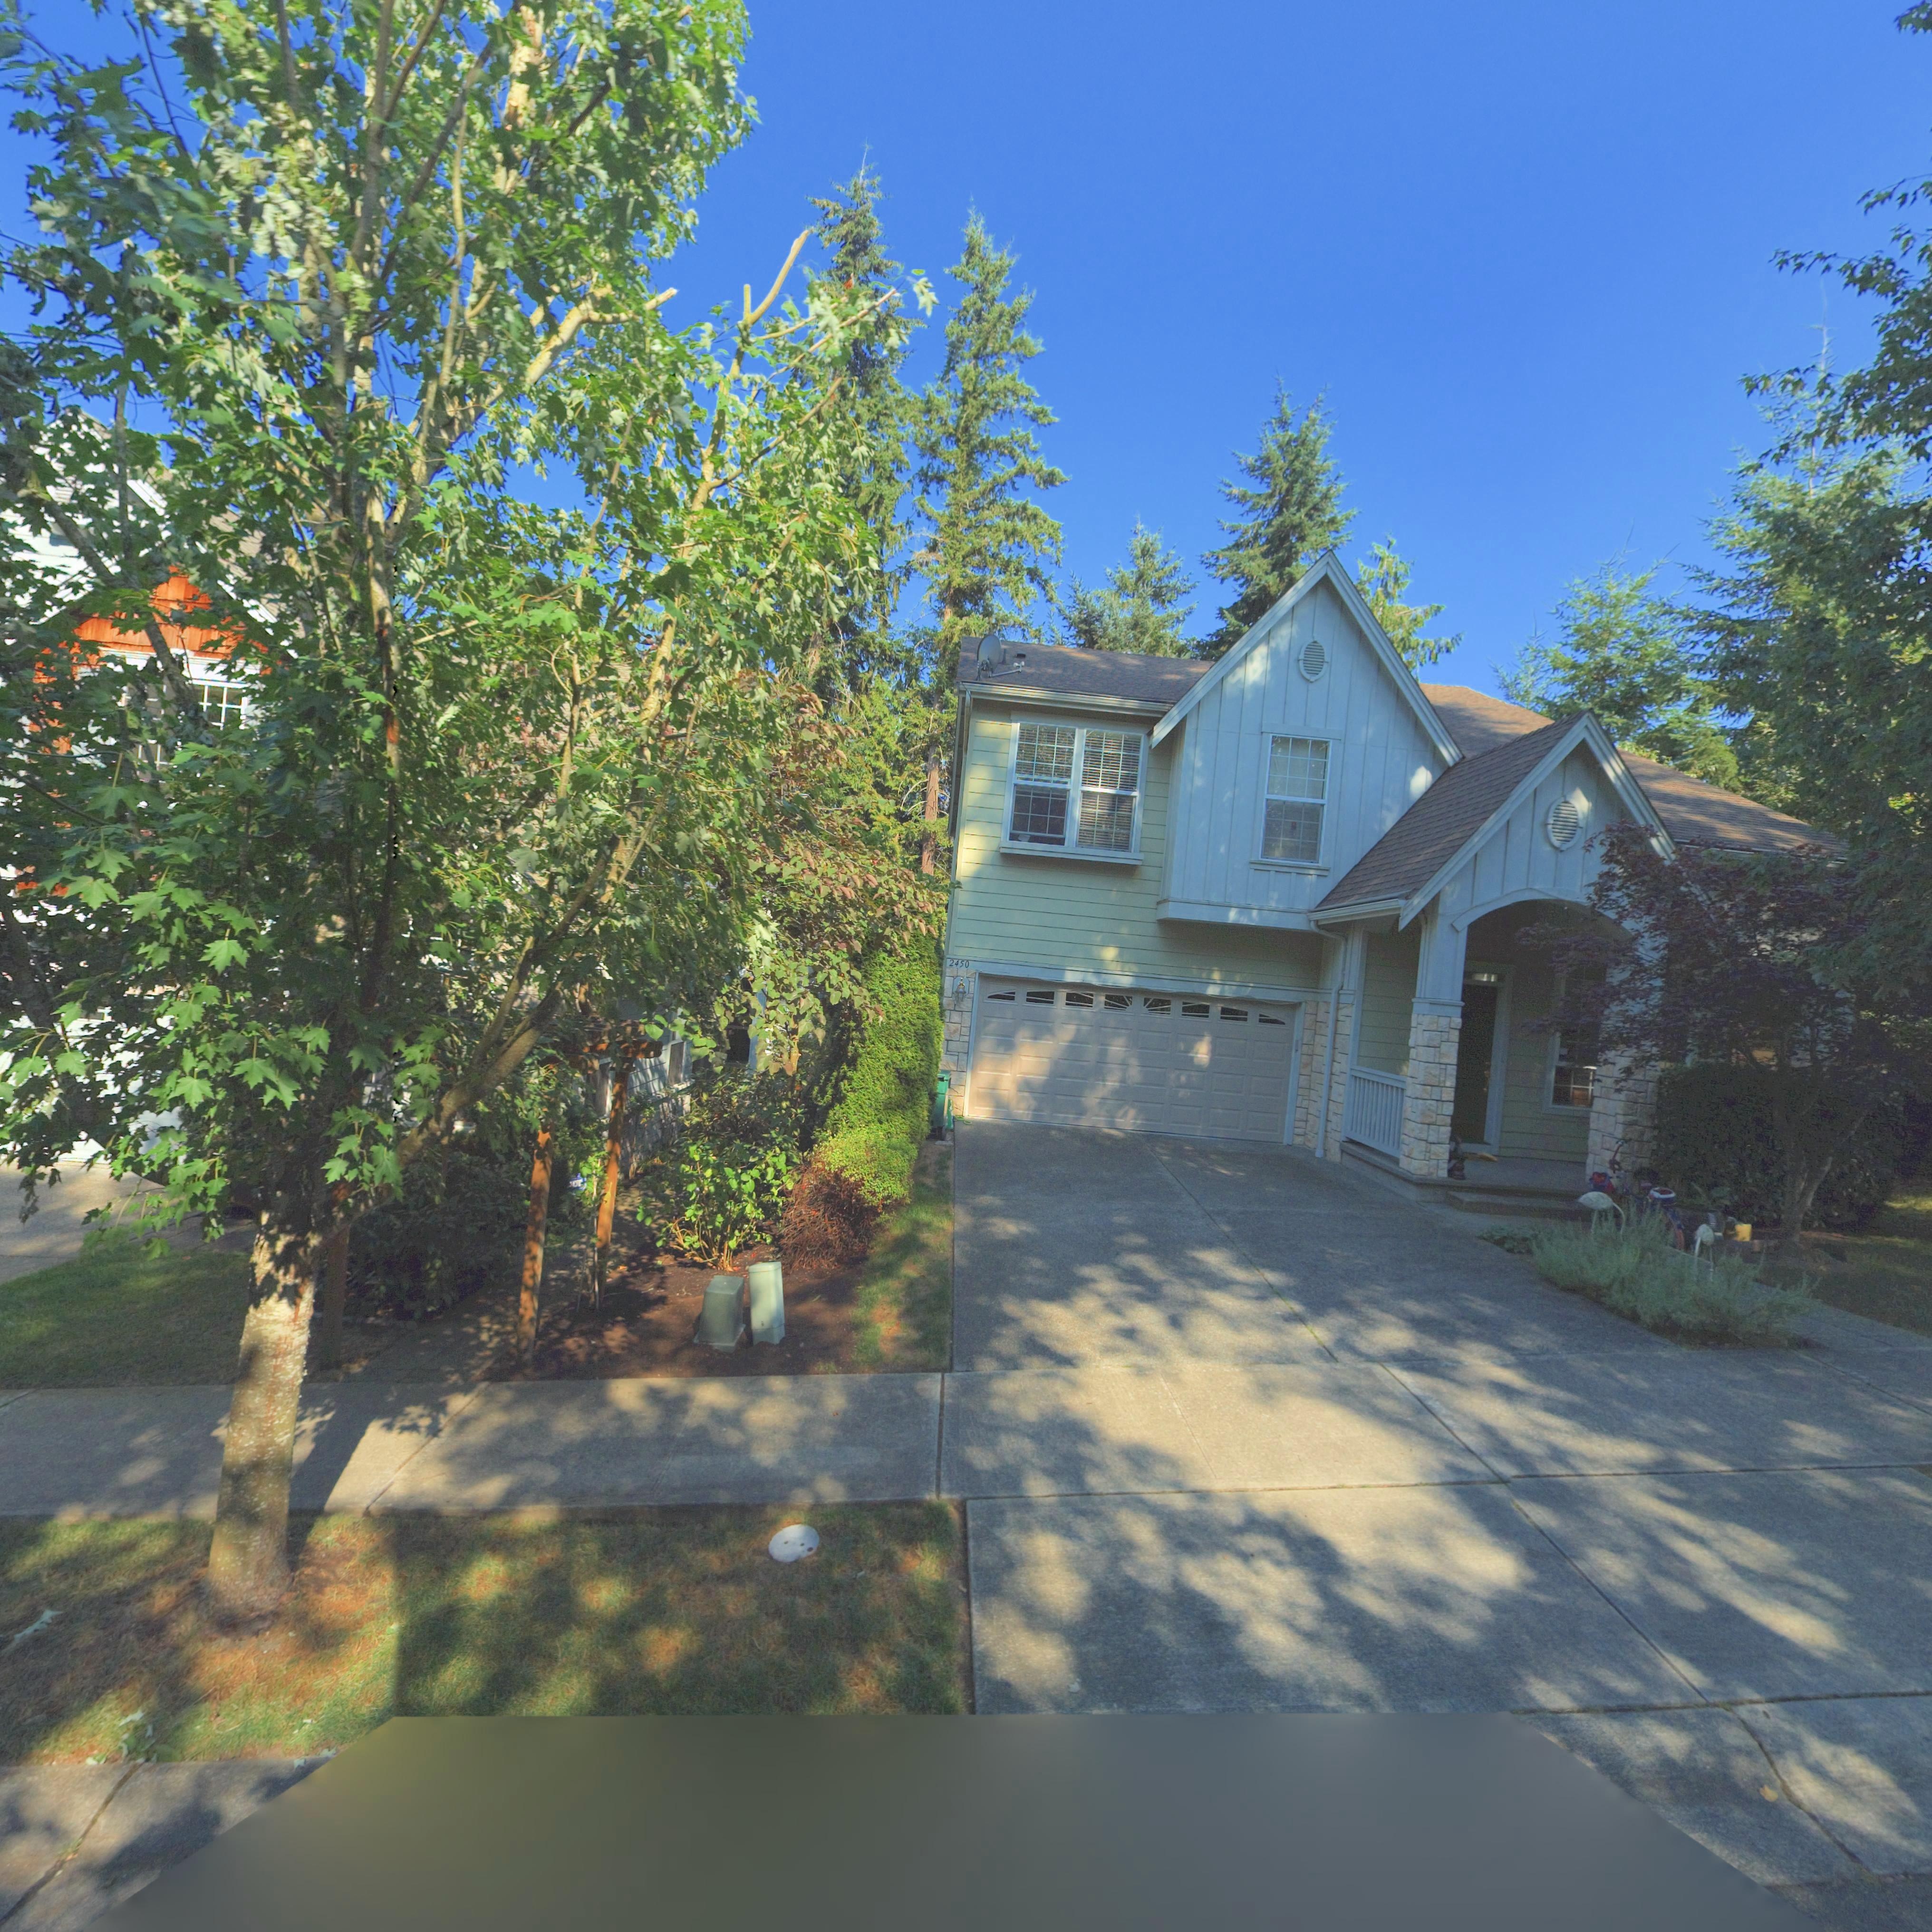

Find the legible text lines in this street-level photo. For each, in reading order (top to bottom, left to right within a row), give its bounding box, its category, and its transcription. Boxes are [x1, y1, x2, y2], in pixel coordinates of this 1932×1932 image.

[948, 958, 970, 968] StreetNumber: 2450